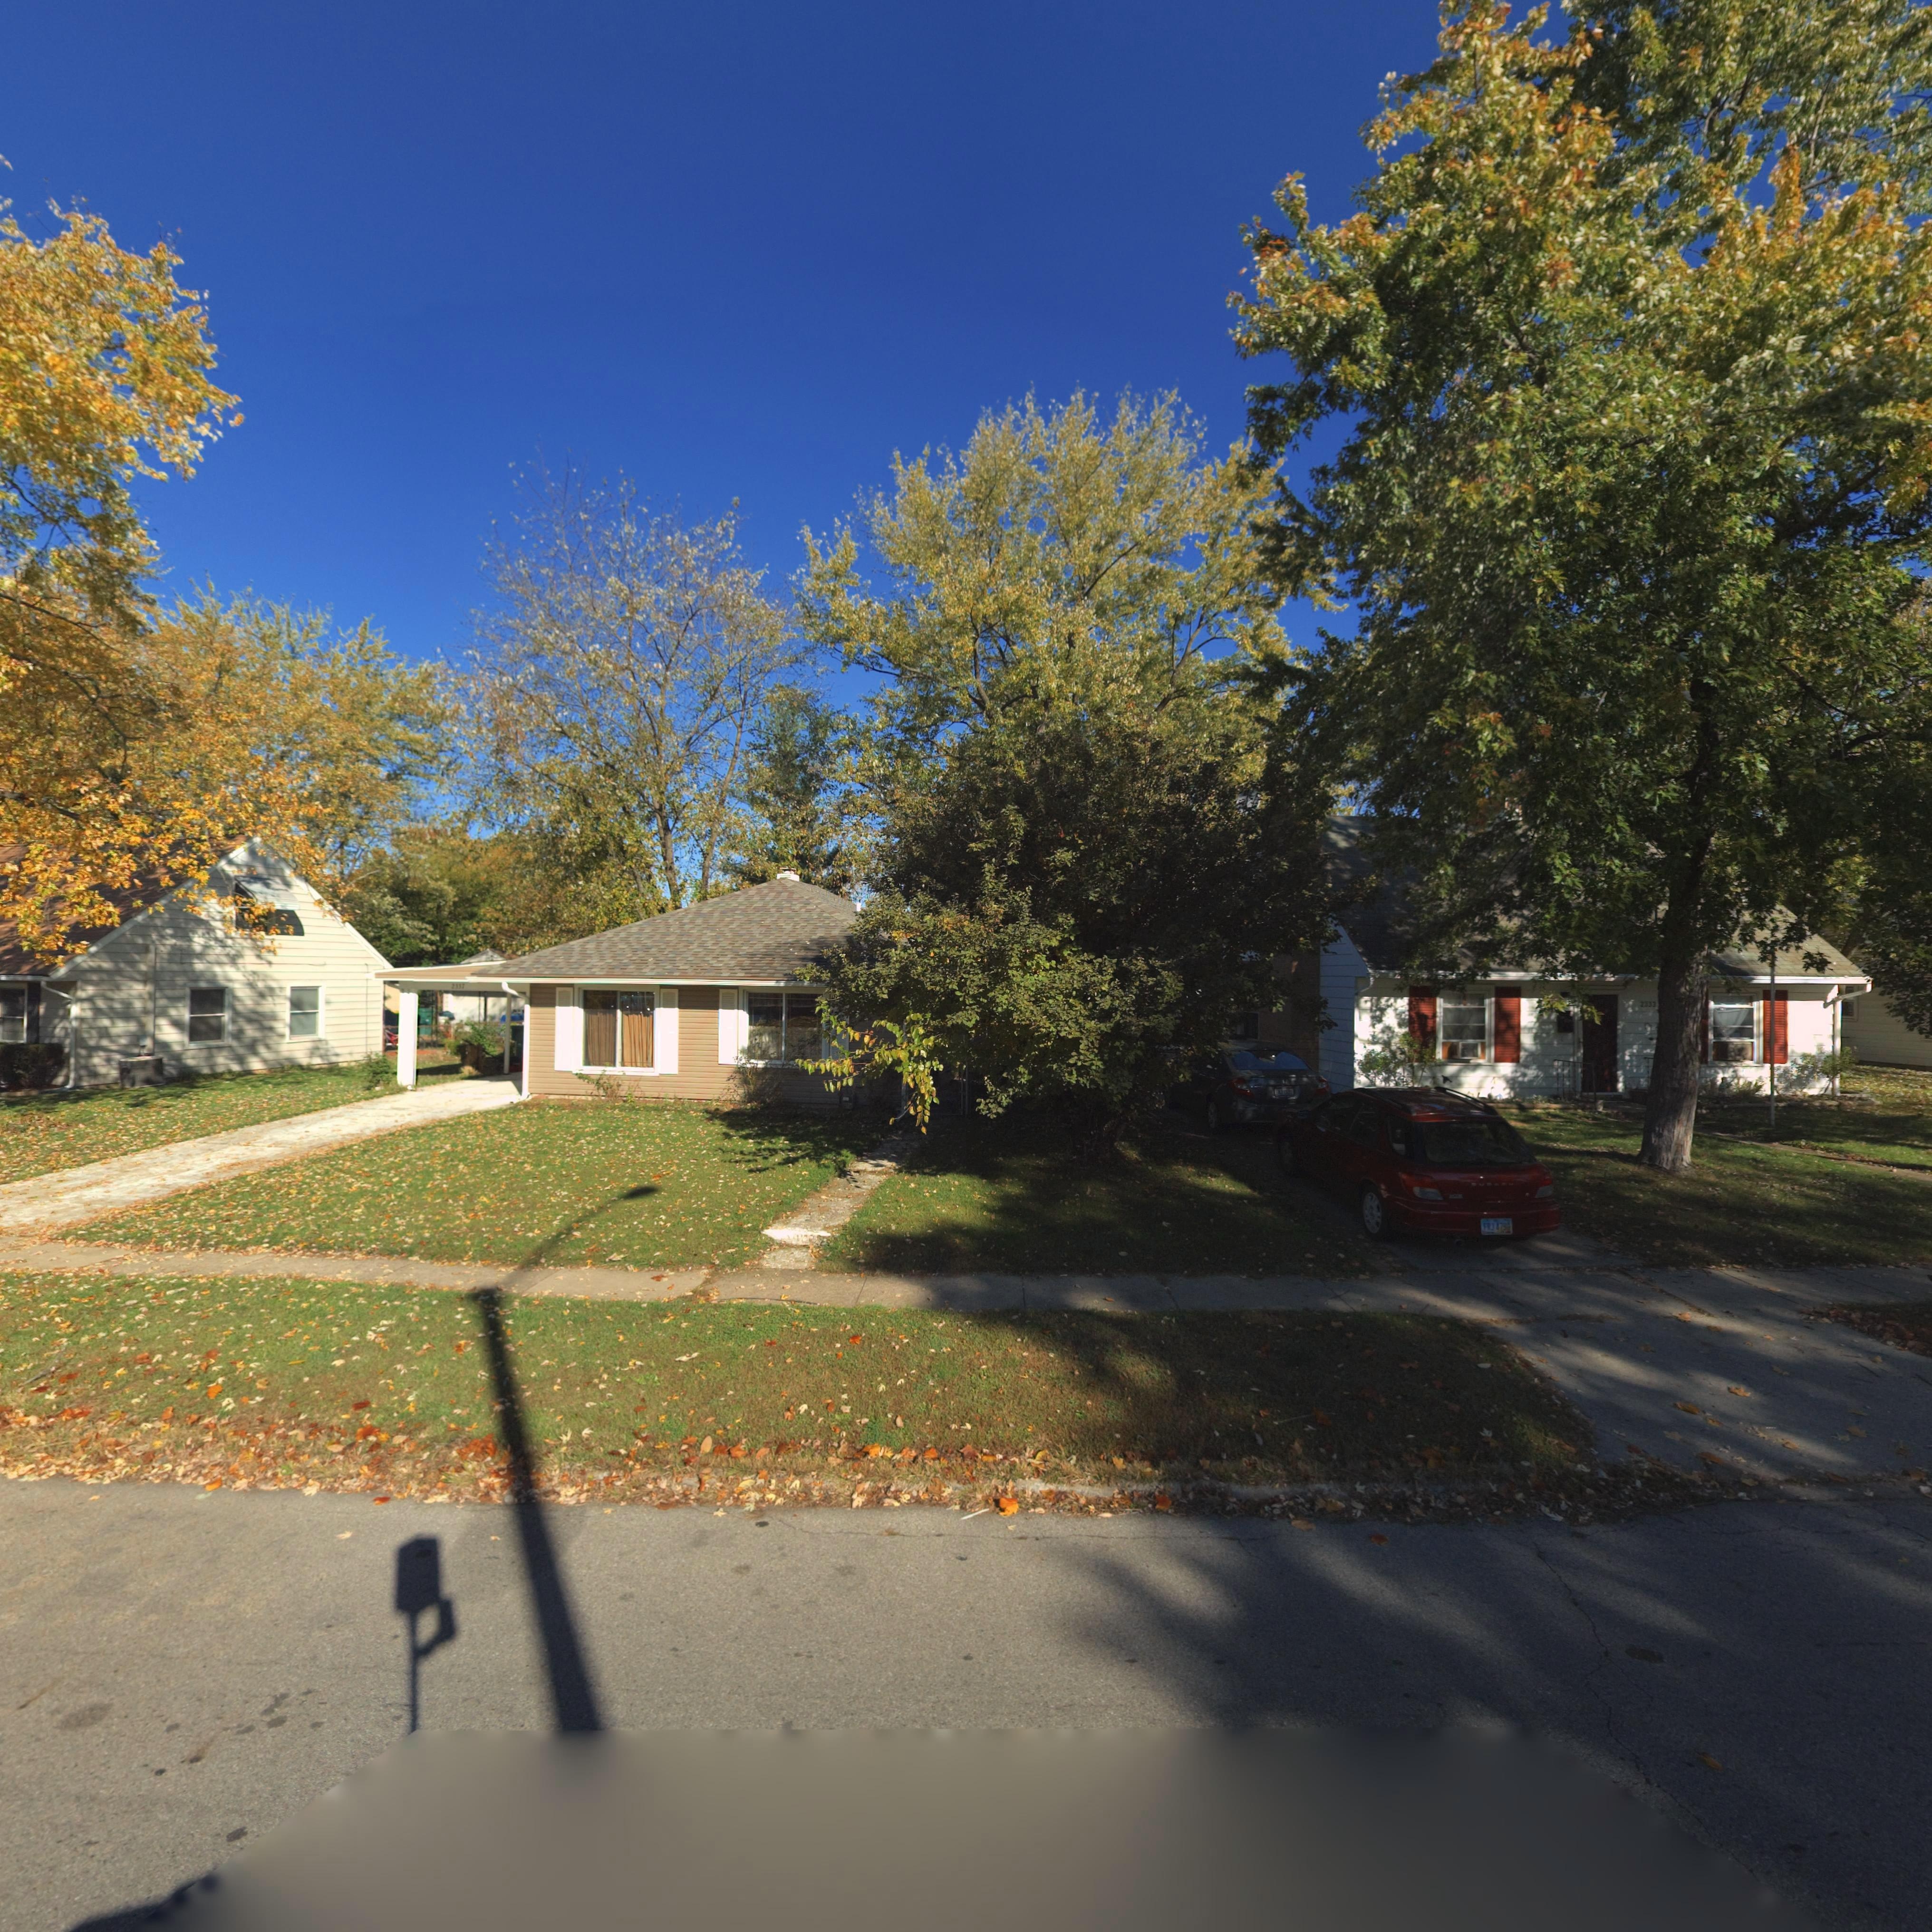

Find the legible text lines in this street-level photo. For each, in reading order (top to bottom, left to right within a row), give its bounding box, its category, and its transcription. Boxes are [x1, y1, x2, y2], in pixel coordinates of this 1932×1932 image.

[1640, 1000, 1657, 1008] StreetNumber: 2*33